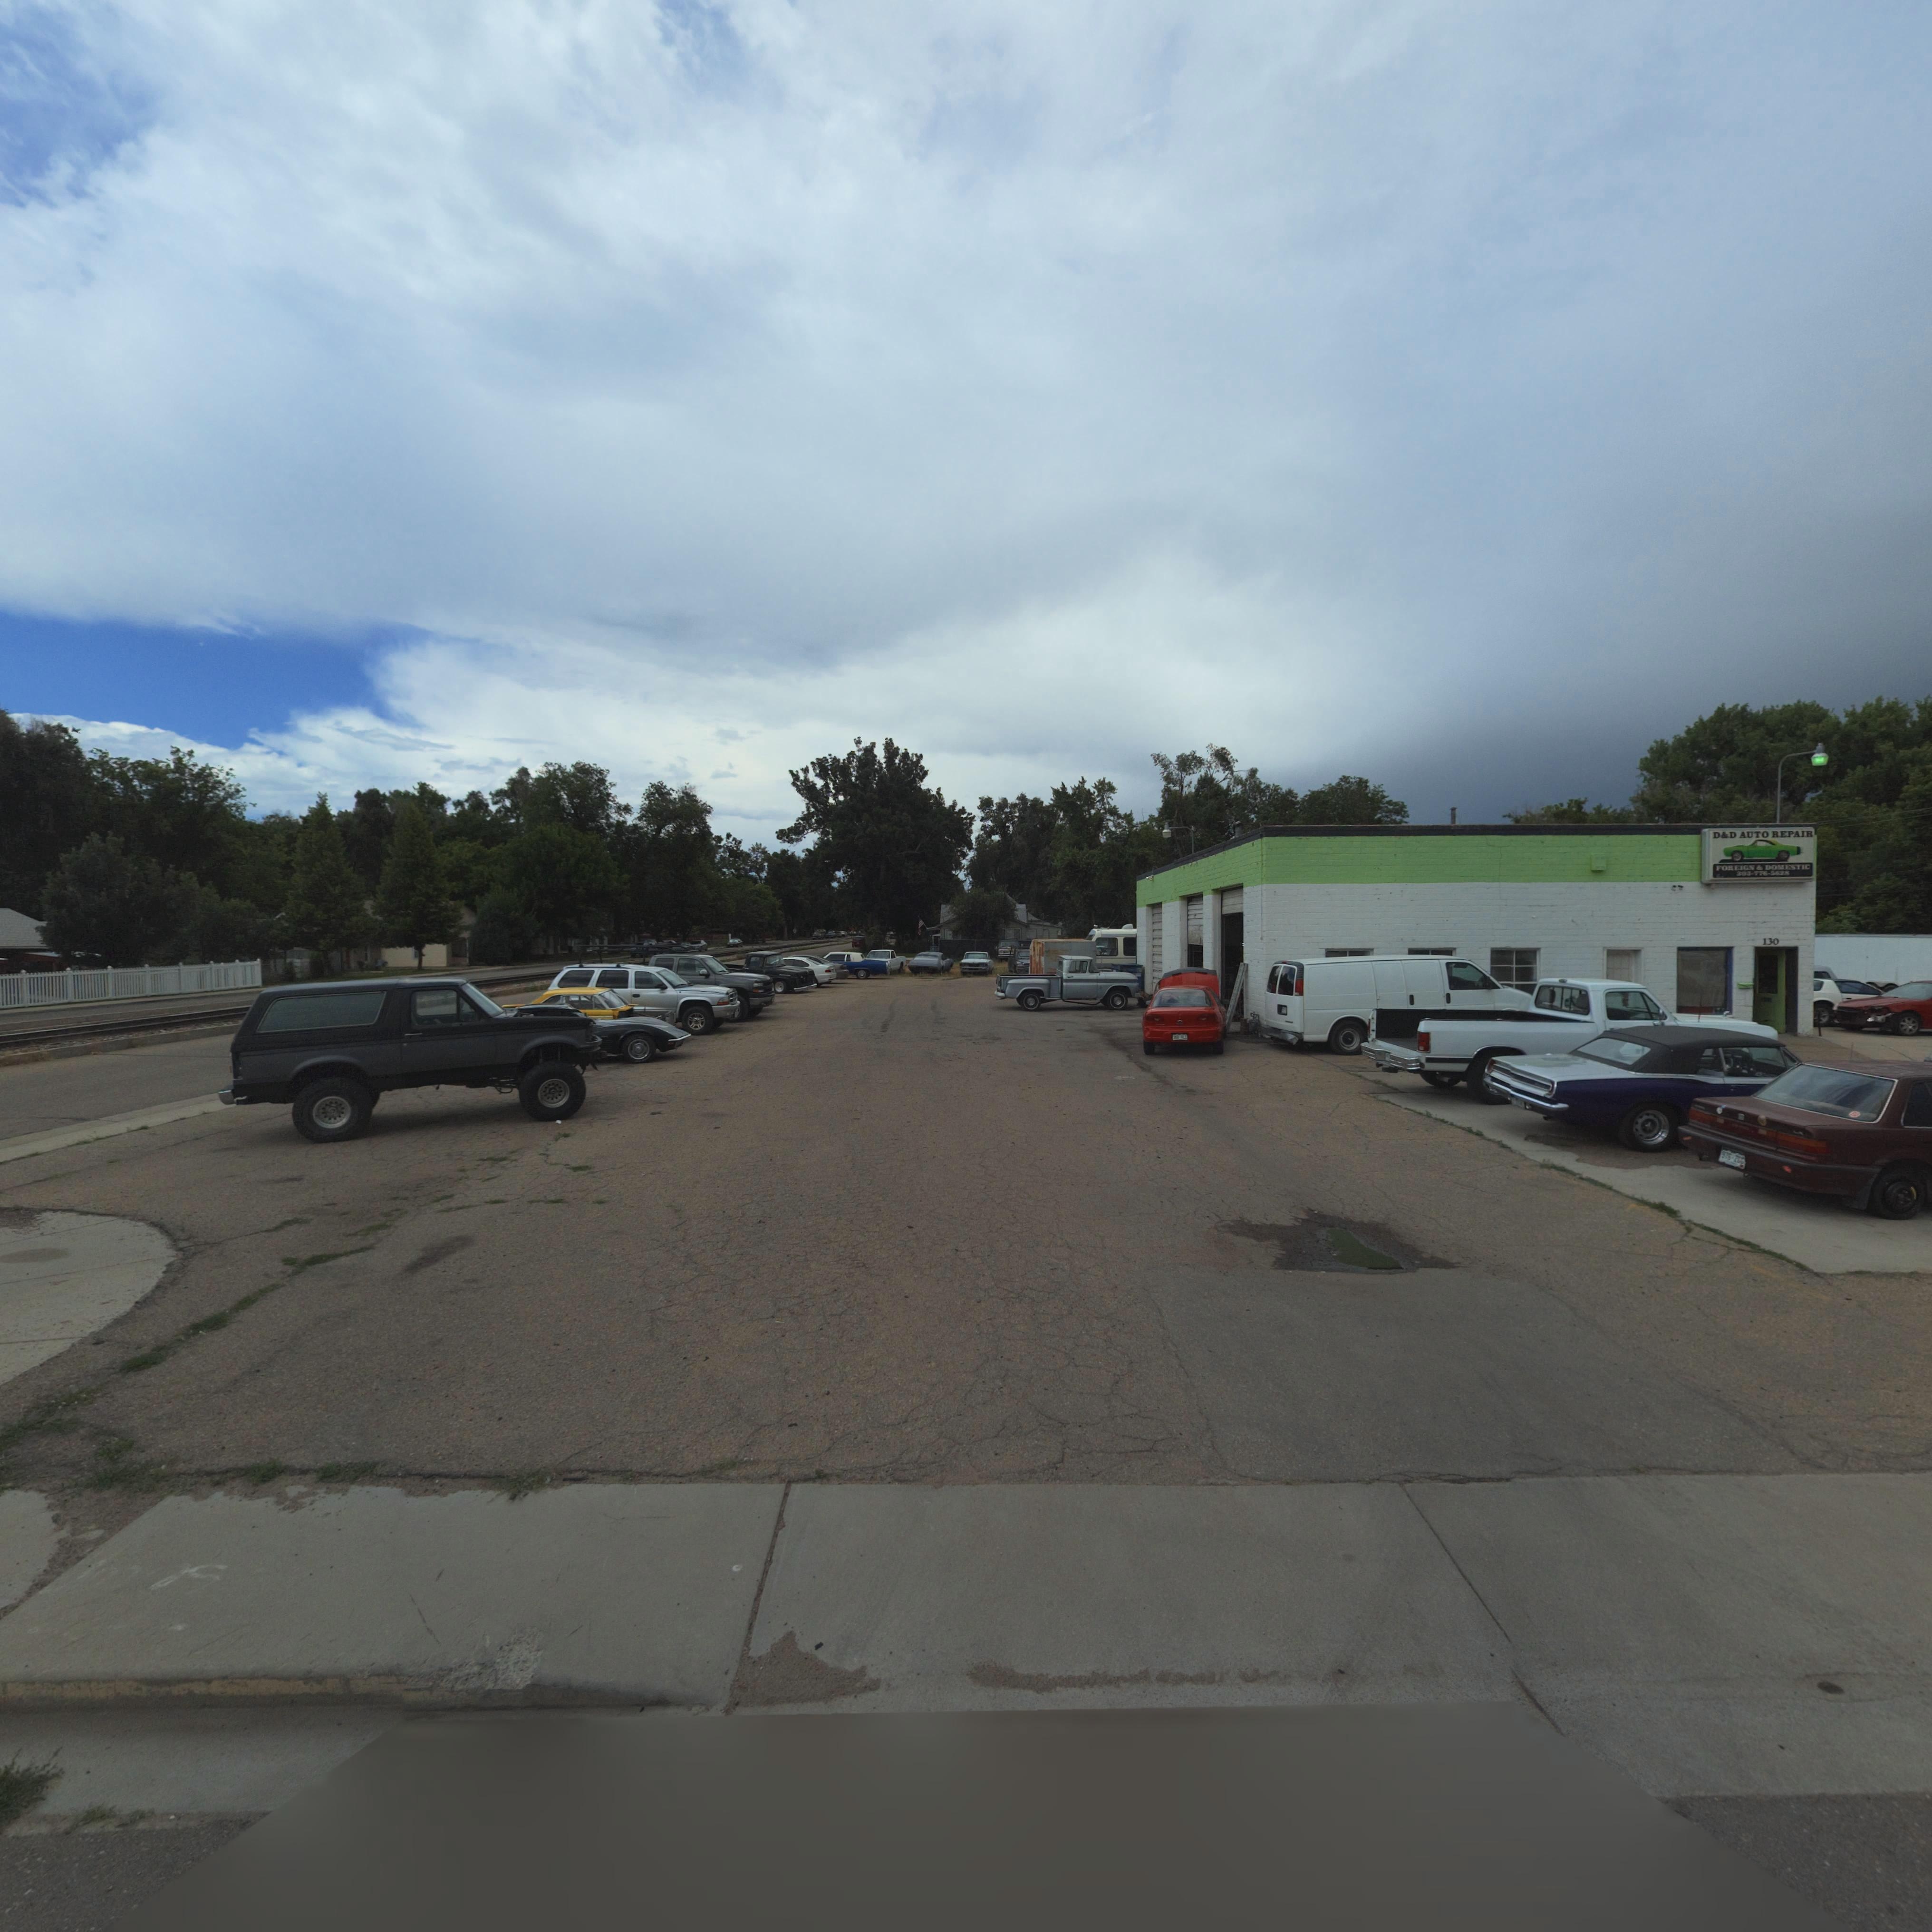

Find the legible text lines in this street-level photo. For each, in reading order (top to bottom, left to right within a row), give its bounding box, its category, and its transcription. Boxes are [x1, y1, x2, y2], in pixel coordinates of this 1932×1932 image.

[1712, 830, 1813, 839] BusinessName: D*D AUTO REPAIR
[1762, 937, 1778, 945] StreetNumber: 130